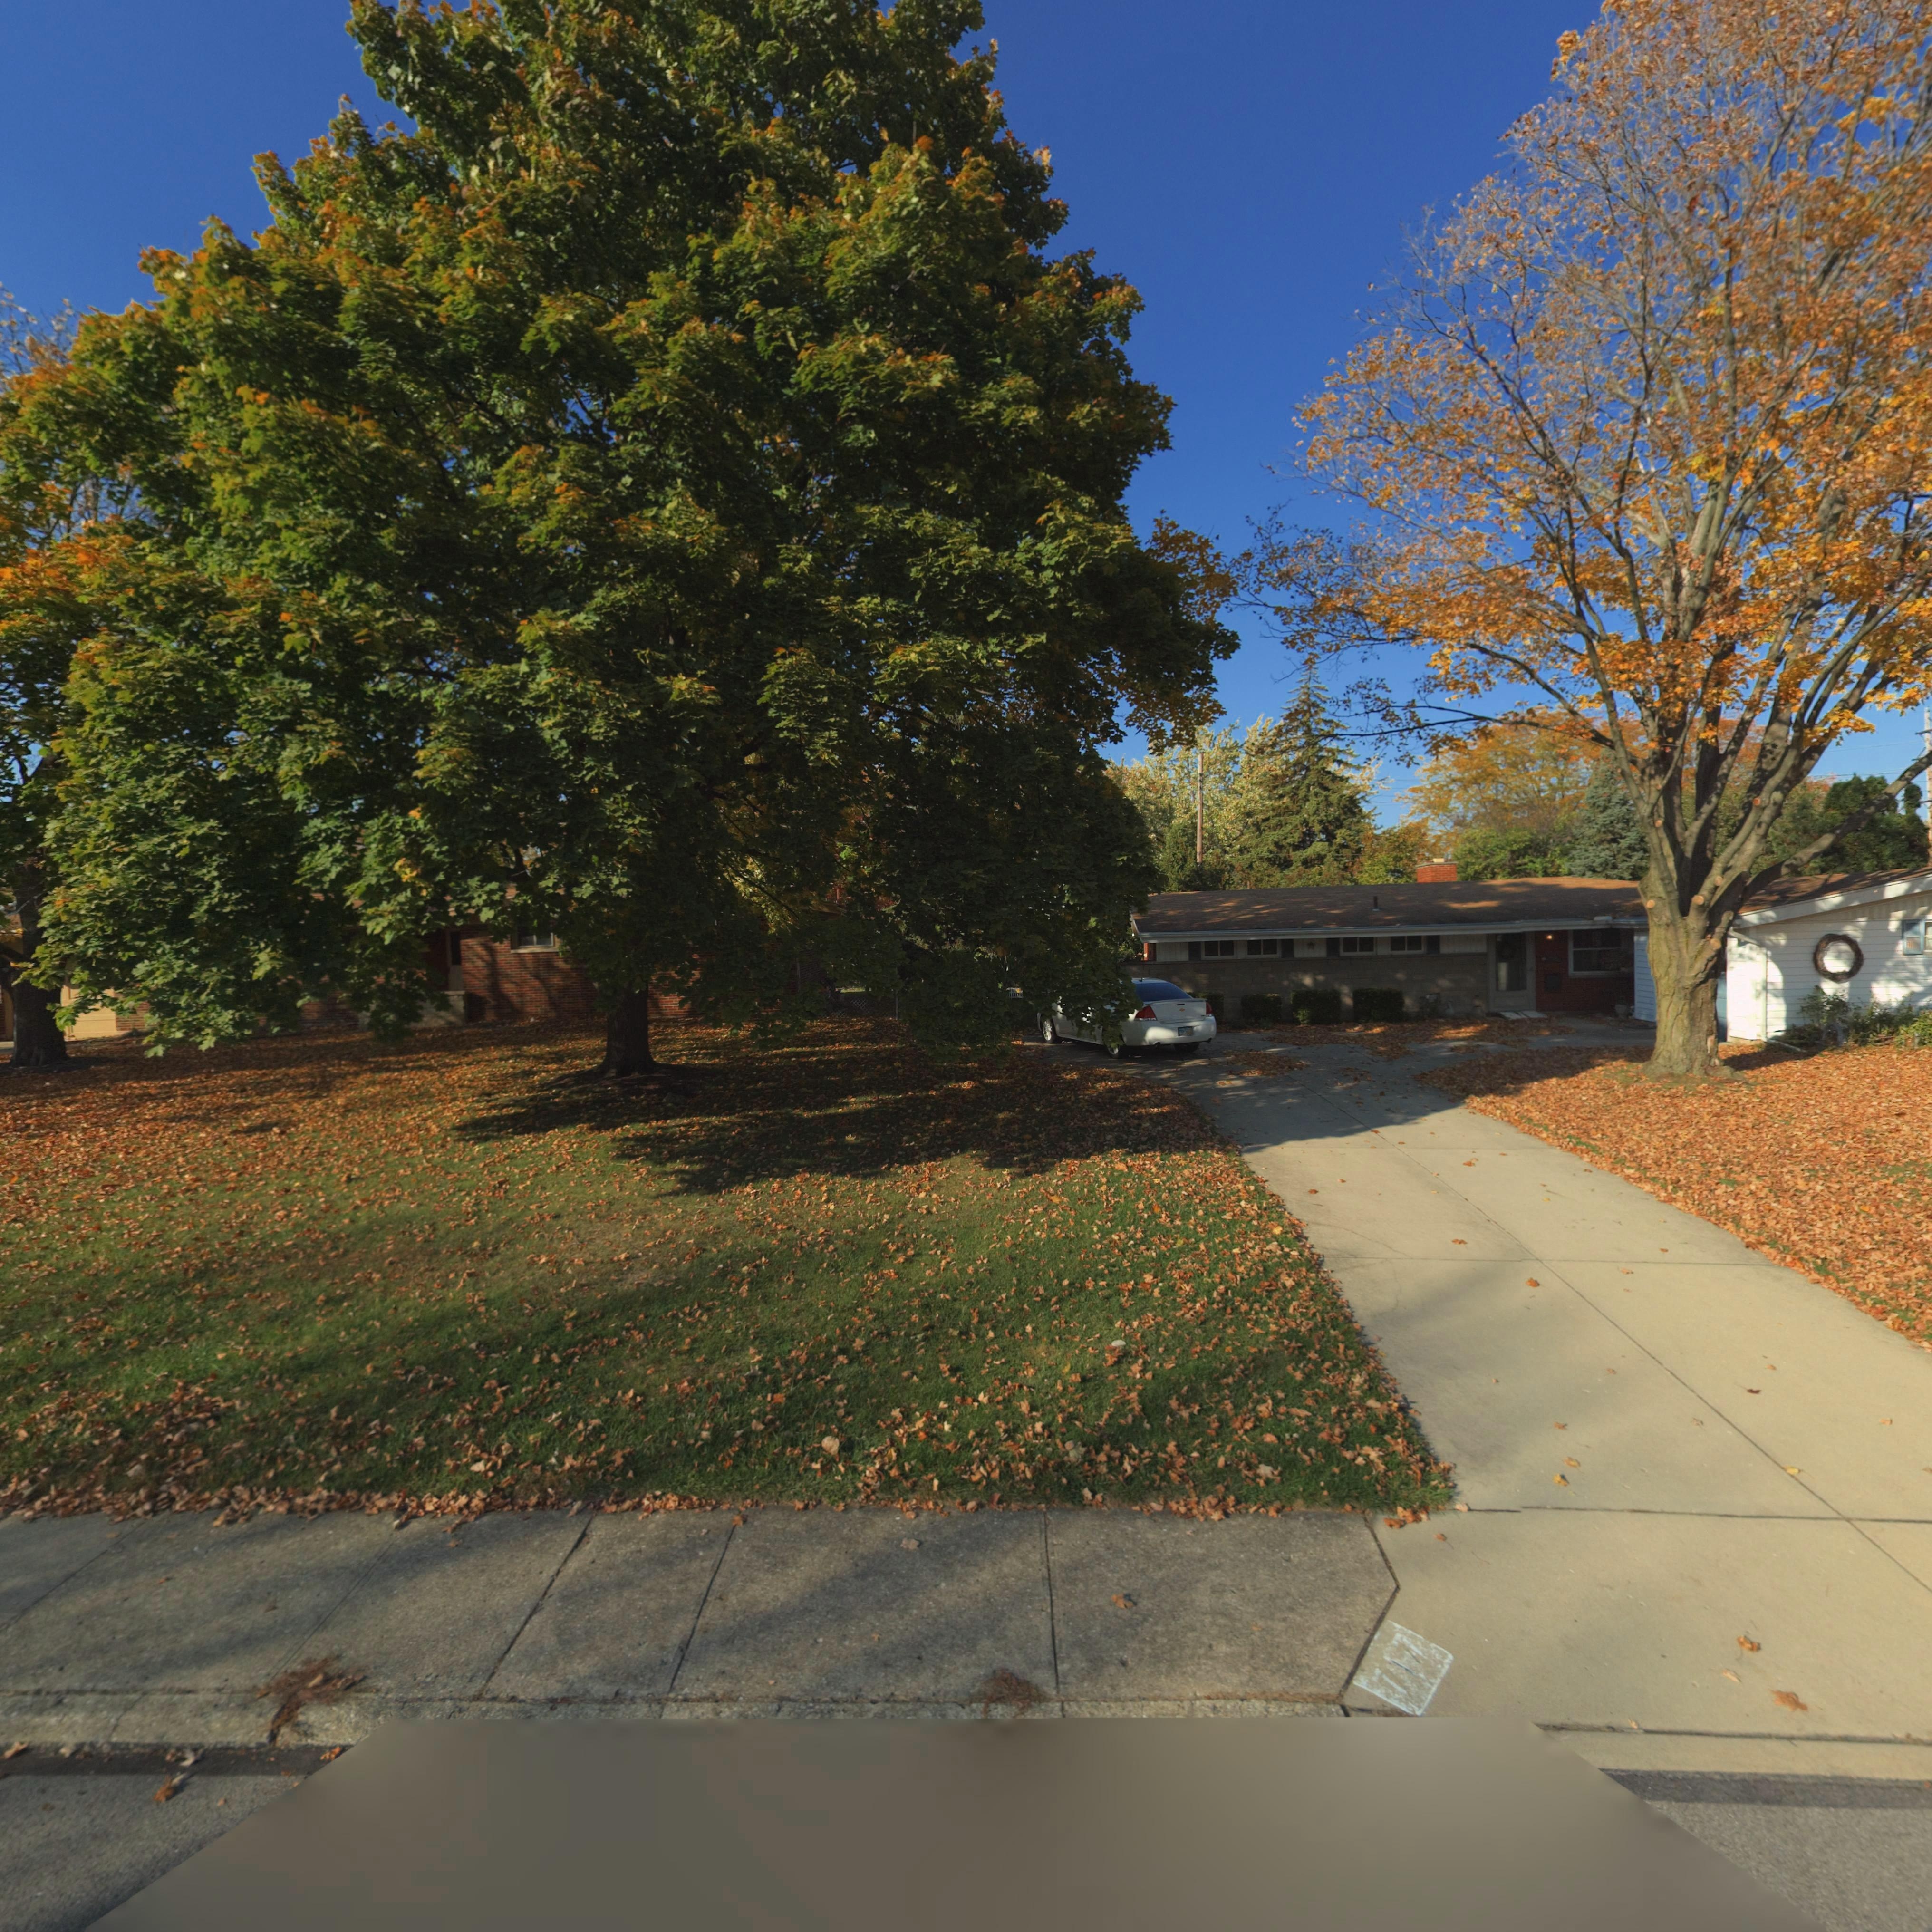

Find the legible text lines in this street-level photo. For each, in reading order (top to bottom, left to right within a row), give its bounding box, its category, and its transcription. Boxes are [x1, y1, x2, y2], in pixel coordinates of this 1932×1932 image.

[1367, 1629, 1430, 1700] StreetNumber: 717